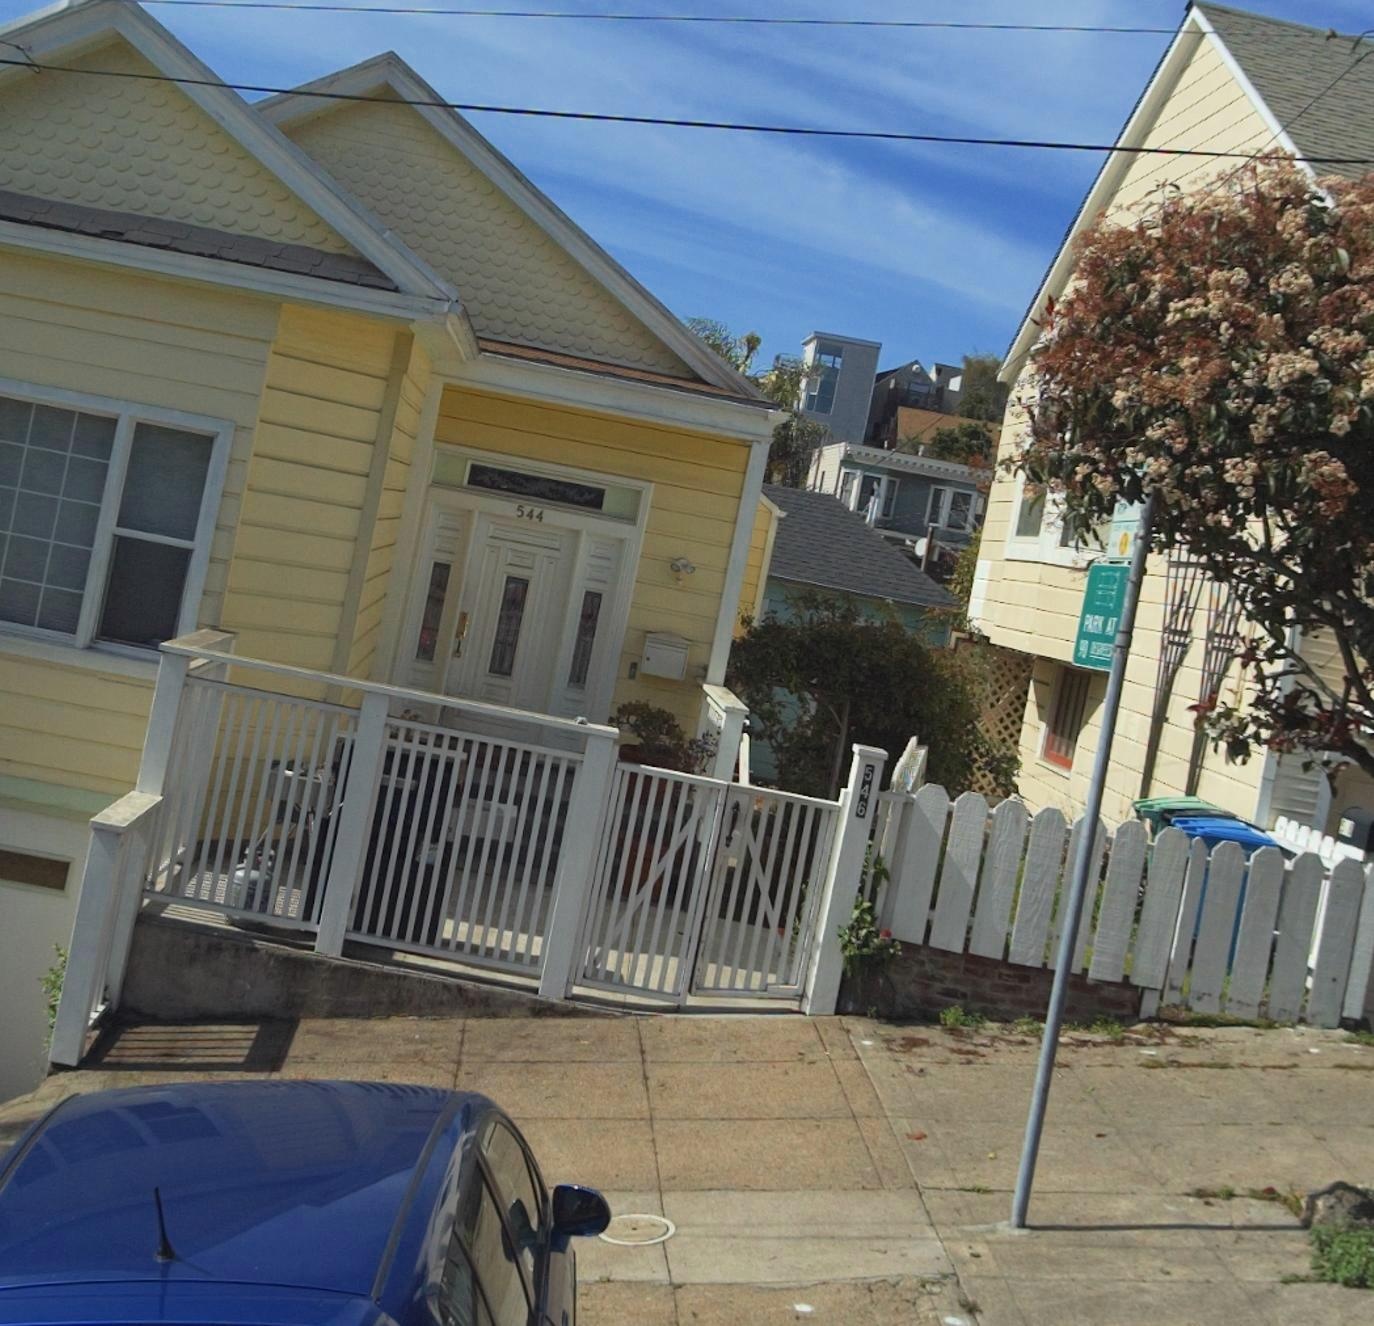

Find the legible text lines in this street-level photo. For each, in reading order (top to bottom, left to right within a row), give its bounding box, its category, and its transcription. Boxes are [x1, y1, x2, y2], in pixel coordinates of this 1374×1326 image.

[514, 502, 546, 525] StreetNumber: 544
[1079, 611, 1119, 639] None: PARK AT
[855, 765, 875, 819] StreetNumber: 546